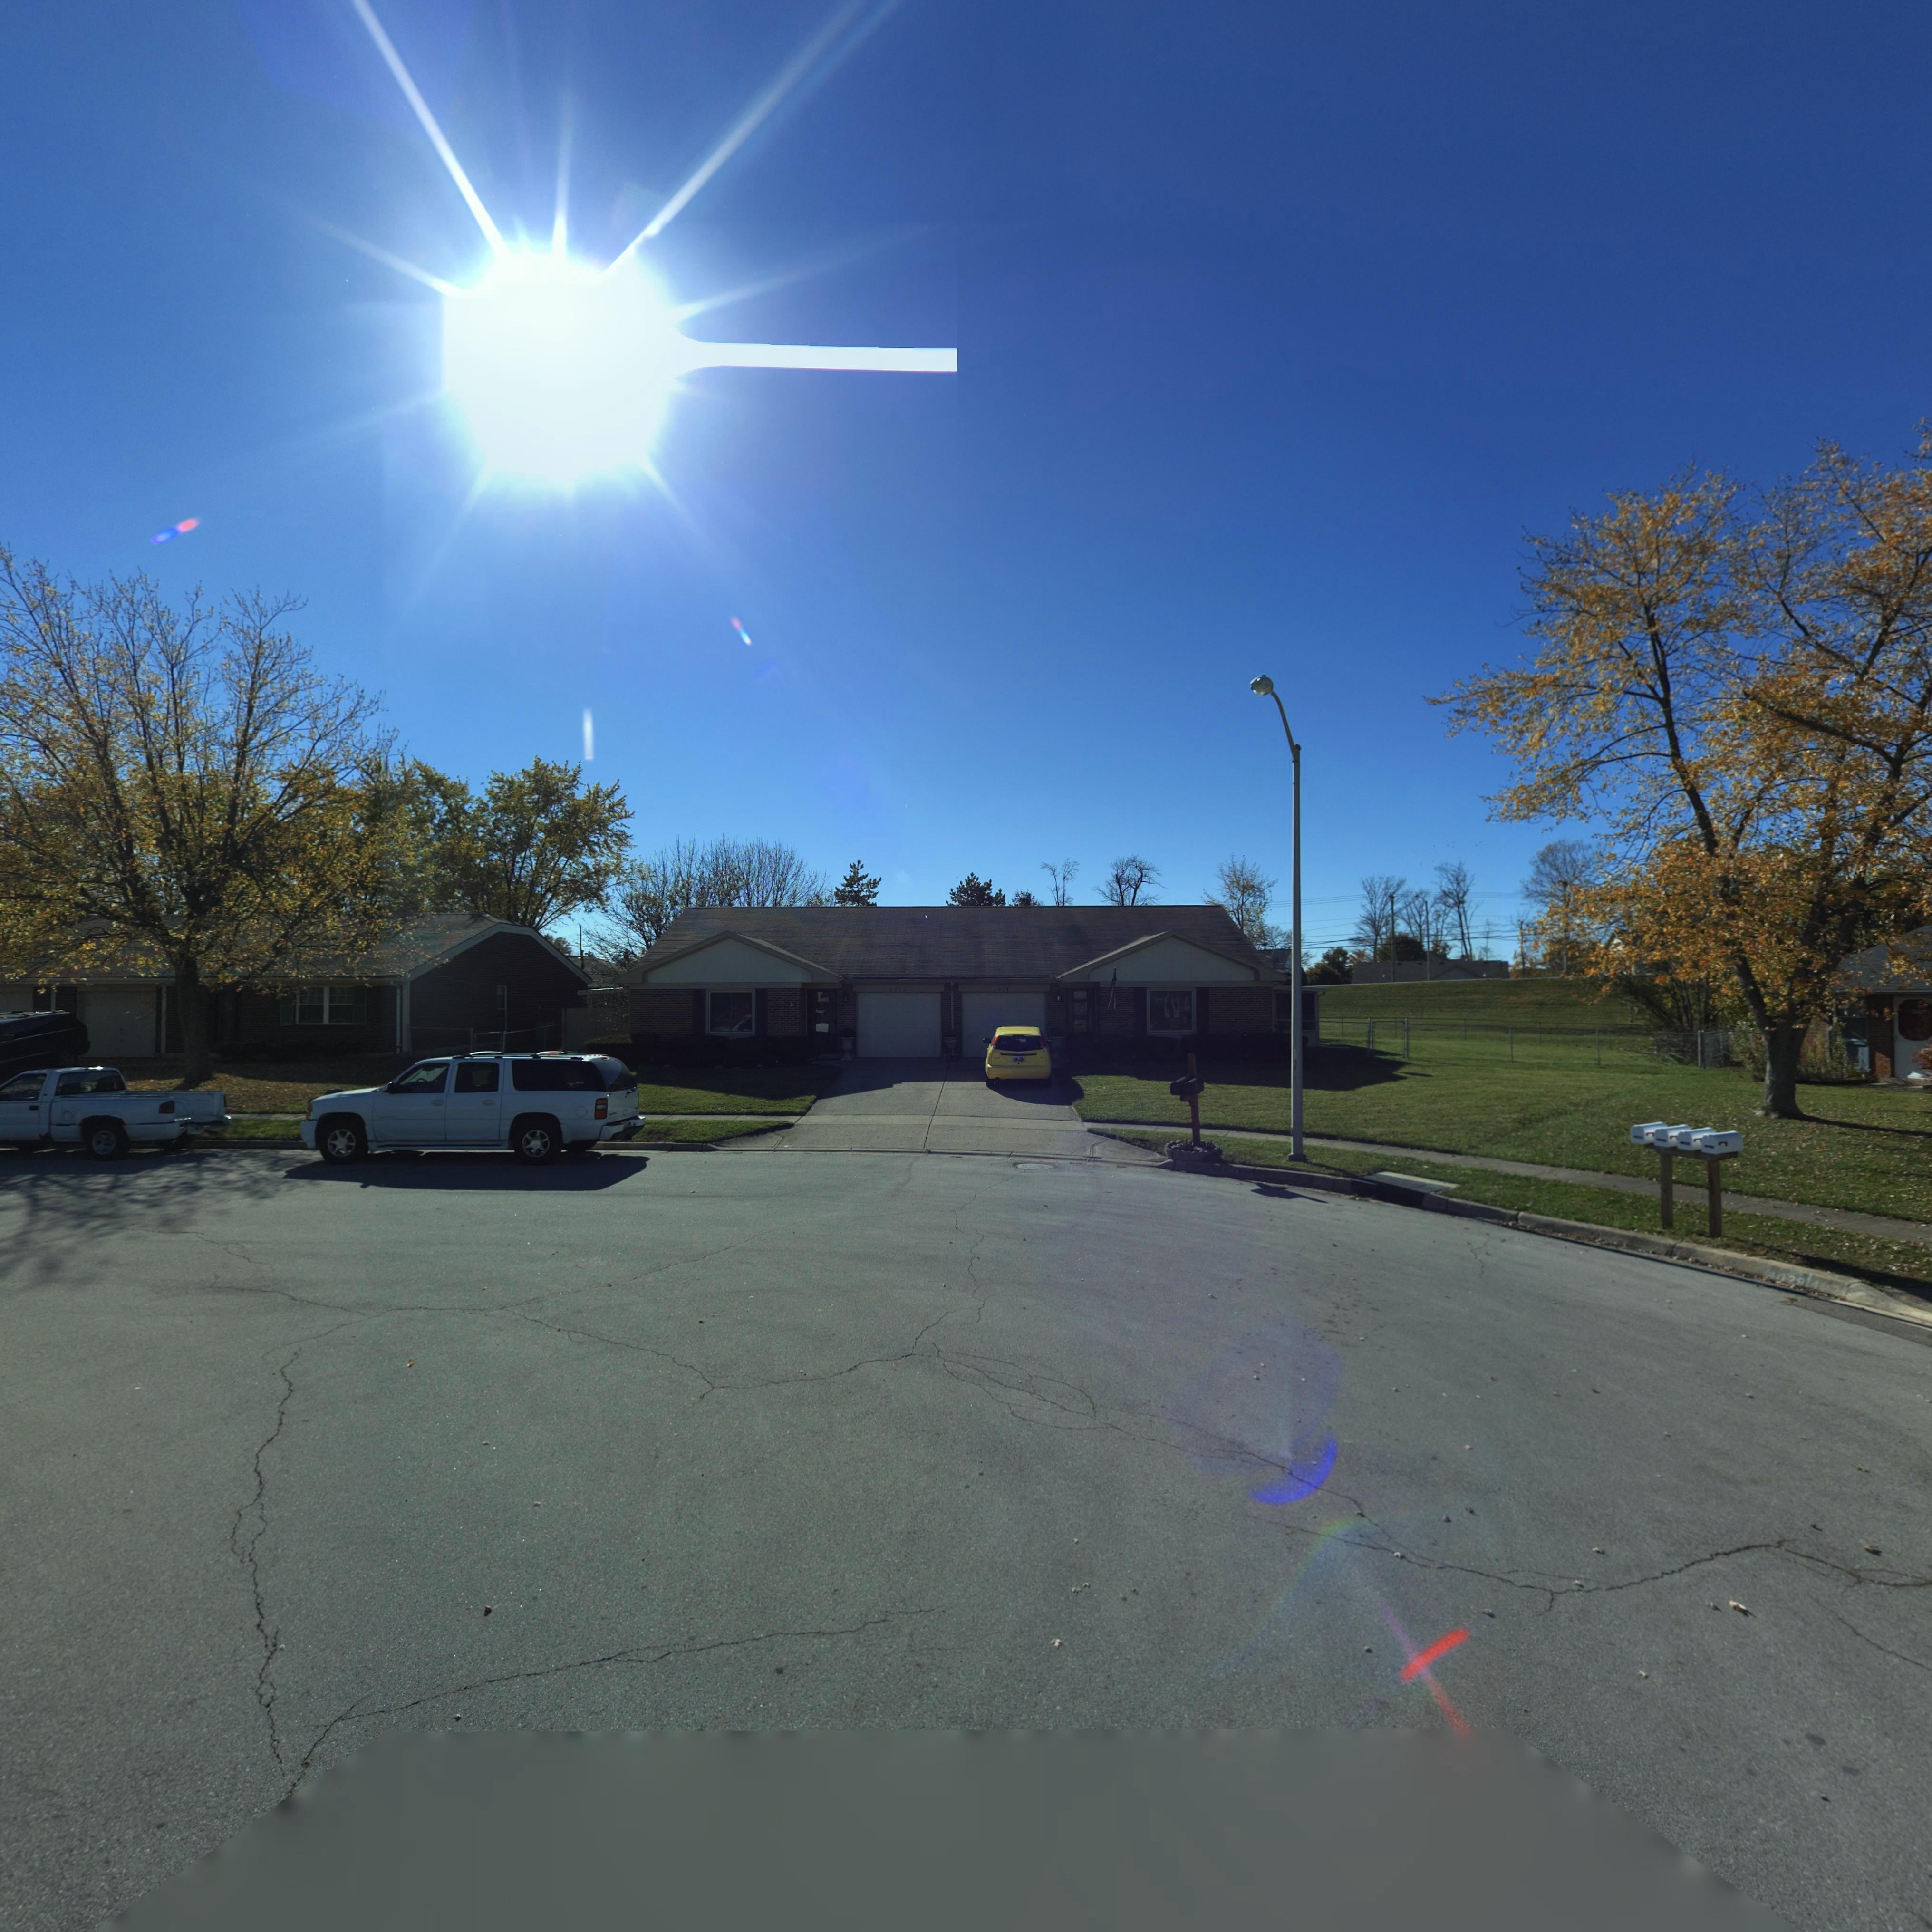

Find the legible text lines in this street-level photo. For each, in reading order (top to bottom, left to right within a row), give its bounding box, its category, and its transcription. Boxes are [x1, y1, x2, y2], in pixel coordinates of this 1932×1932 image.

[889, 987, 907, 992] StreetNumber: 4016
[993, 987, 1009, 992] StreetNumber: 4018
[1766, 1269, 1806, 1289] StreetNumber: 4028
[1809, 1279, 1831, 1293] StreetNumber: 40